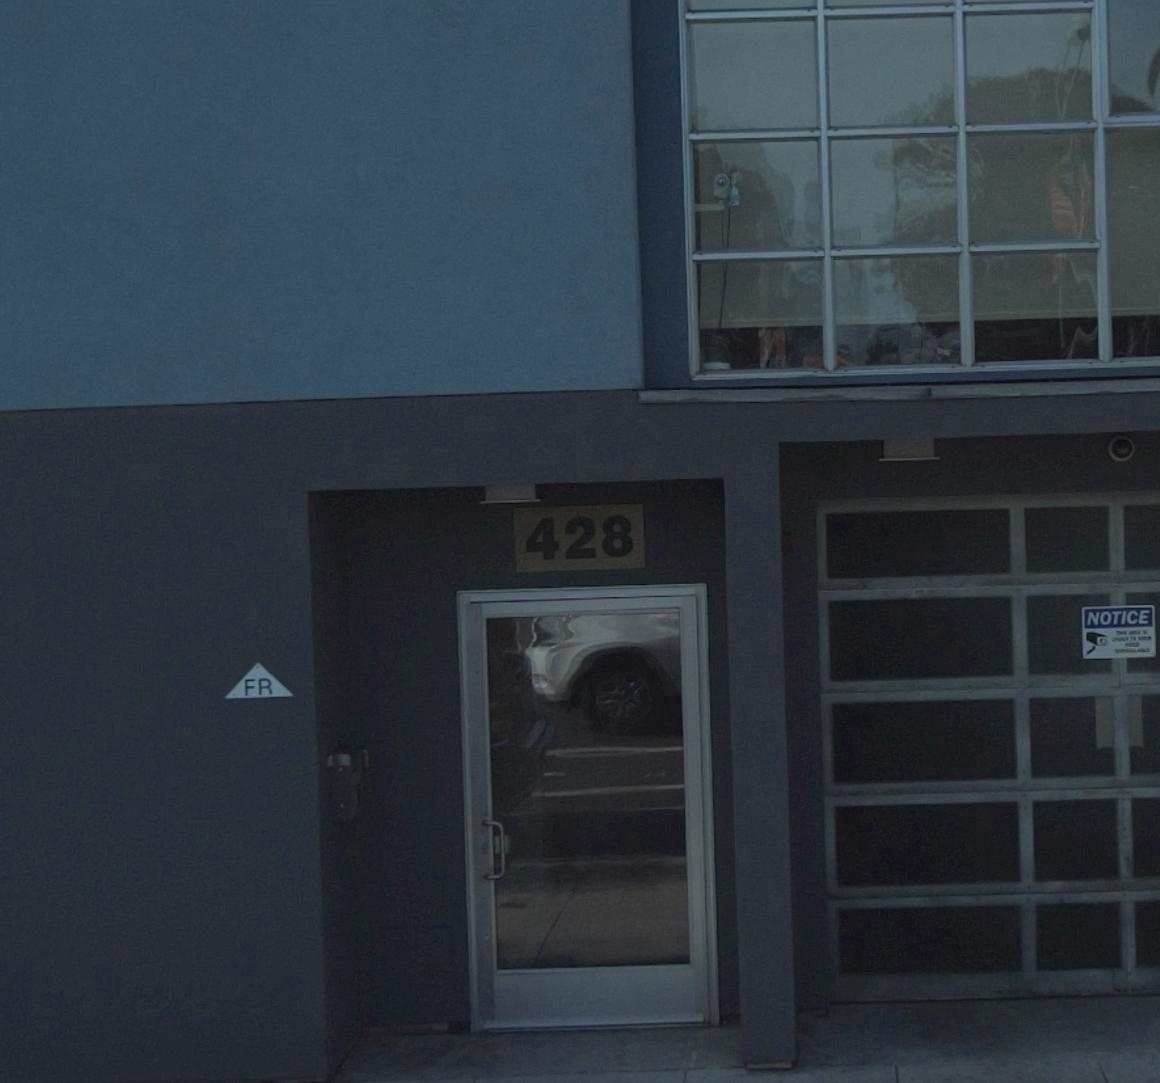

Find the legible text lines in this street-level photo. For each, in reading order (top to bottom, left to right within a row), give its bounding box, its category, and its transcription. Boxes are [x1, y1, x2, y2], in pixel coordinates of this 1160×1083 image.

[518, 510, 639, 564] StreetNumber: 428
[1083, 608, 1153, 628] None: NOTICE
[241, 675, 275, 702] None: FR